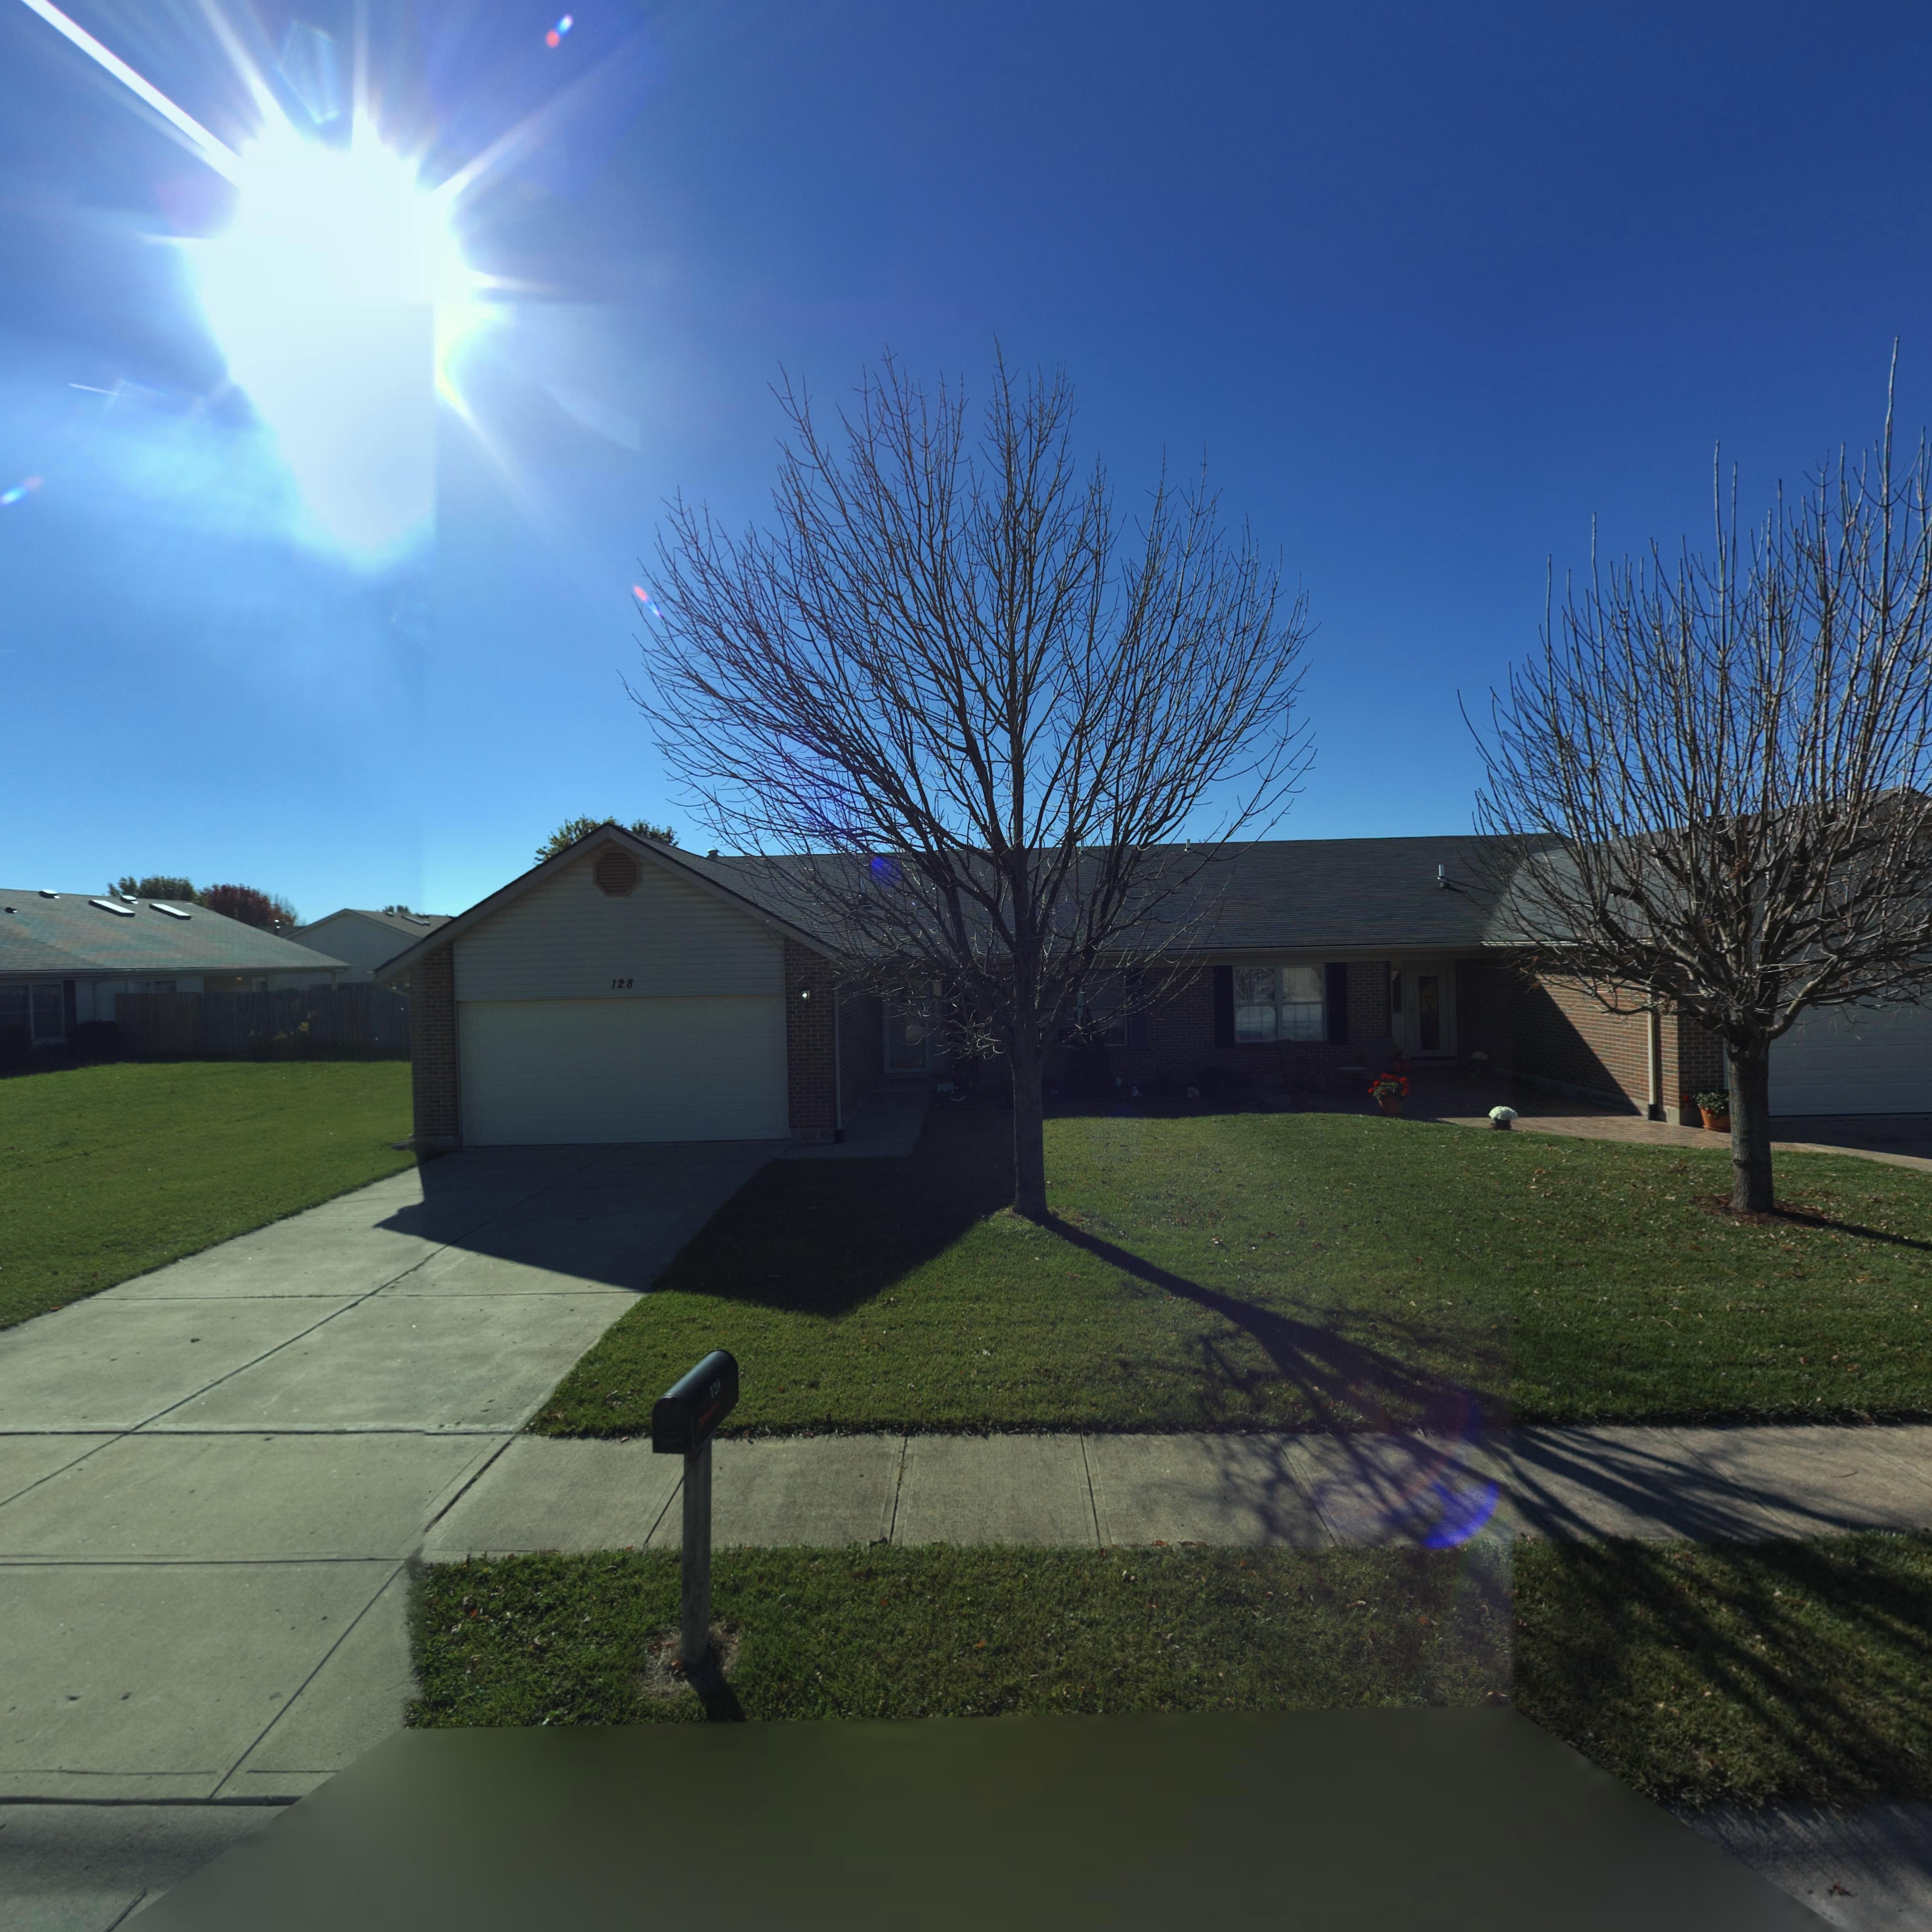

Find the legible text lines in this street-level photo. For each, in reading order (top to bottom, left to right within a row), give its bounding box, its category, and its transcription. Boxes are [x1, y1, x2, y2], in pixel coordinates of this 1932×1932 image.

[611, 978, 634, 989] StreetNumber: 128
[708, 1377, 723, 1400] StreetNumber: 128